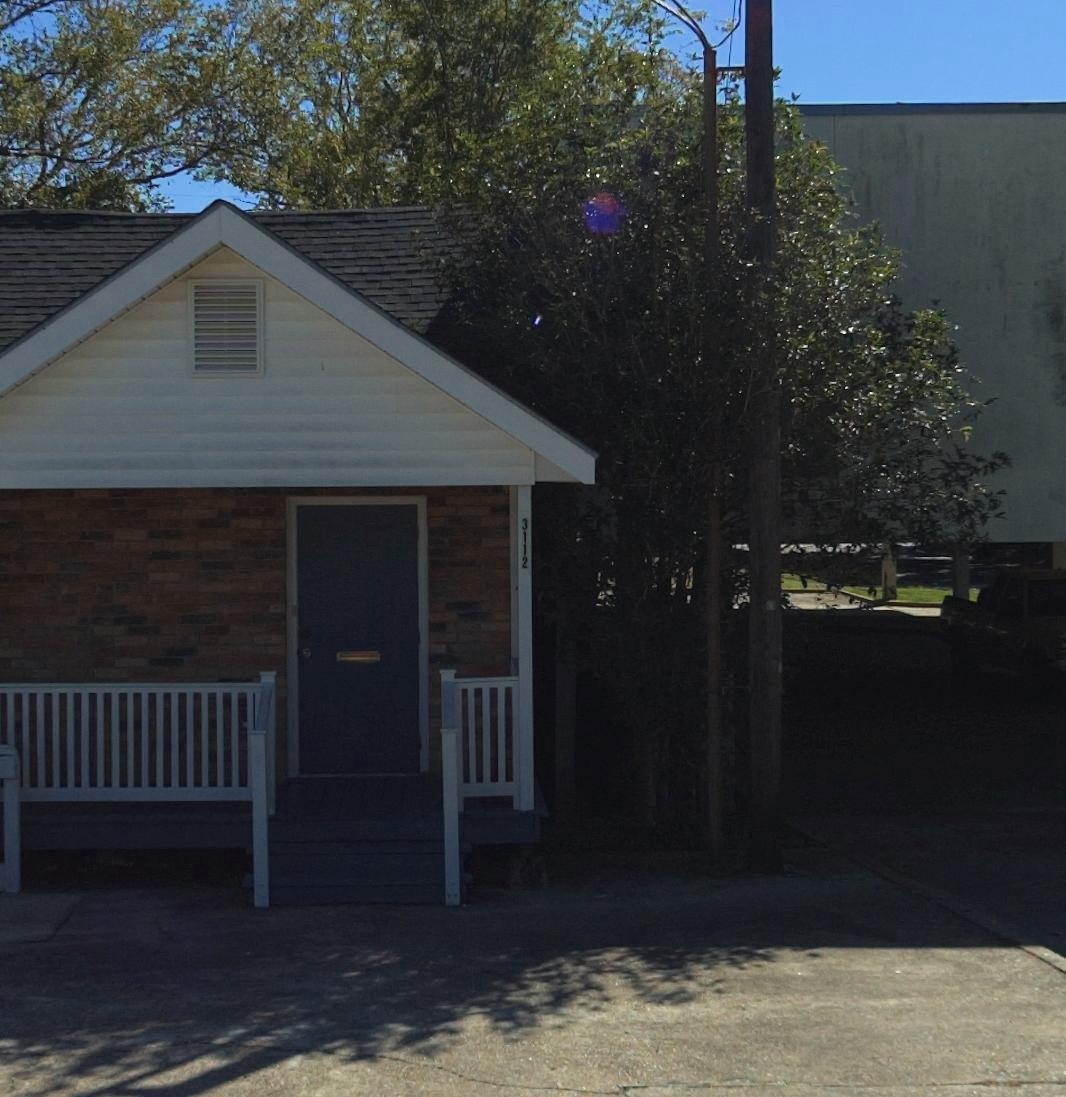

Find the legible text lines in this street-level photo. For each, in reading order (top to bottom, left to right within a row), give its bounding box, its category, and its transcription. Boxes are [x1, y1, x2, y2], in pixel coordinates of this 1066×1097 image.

[520, 516, 530, 571] StreetNumber: 3112